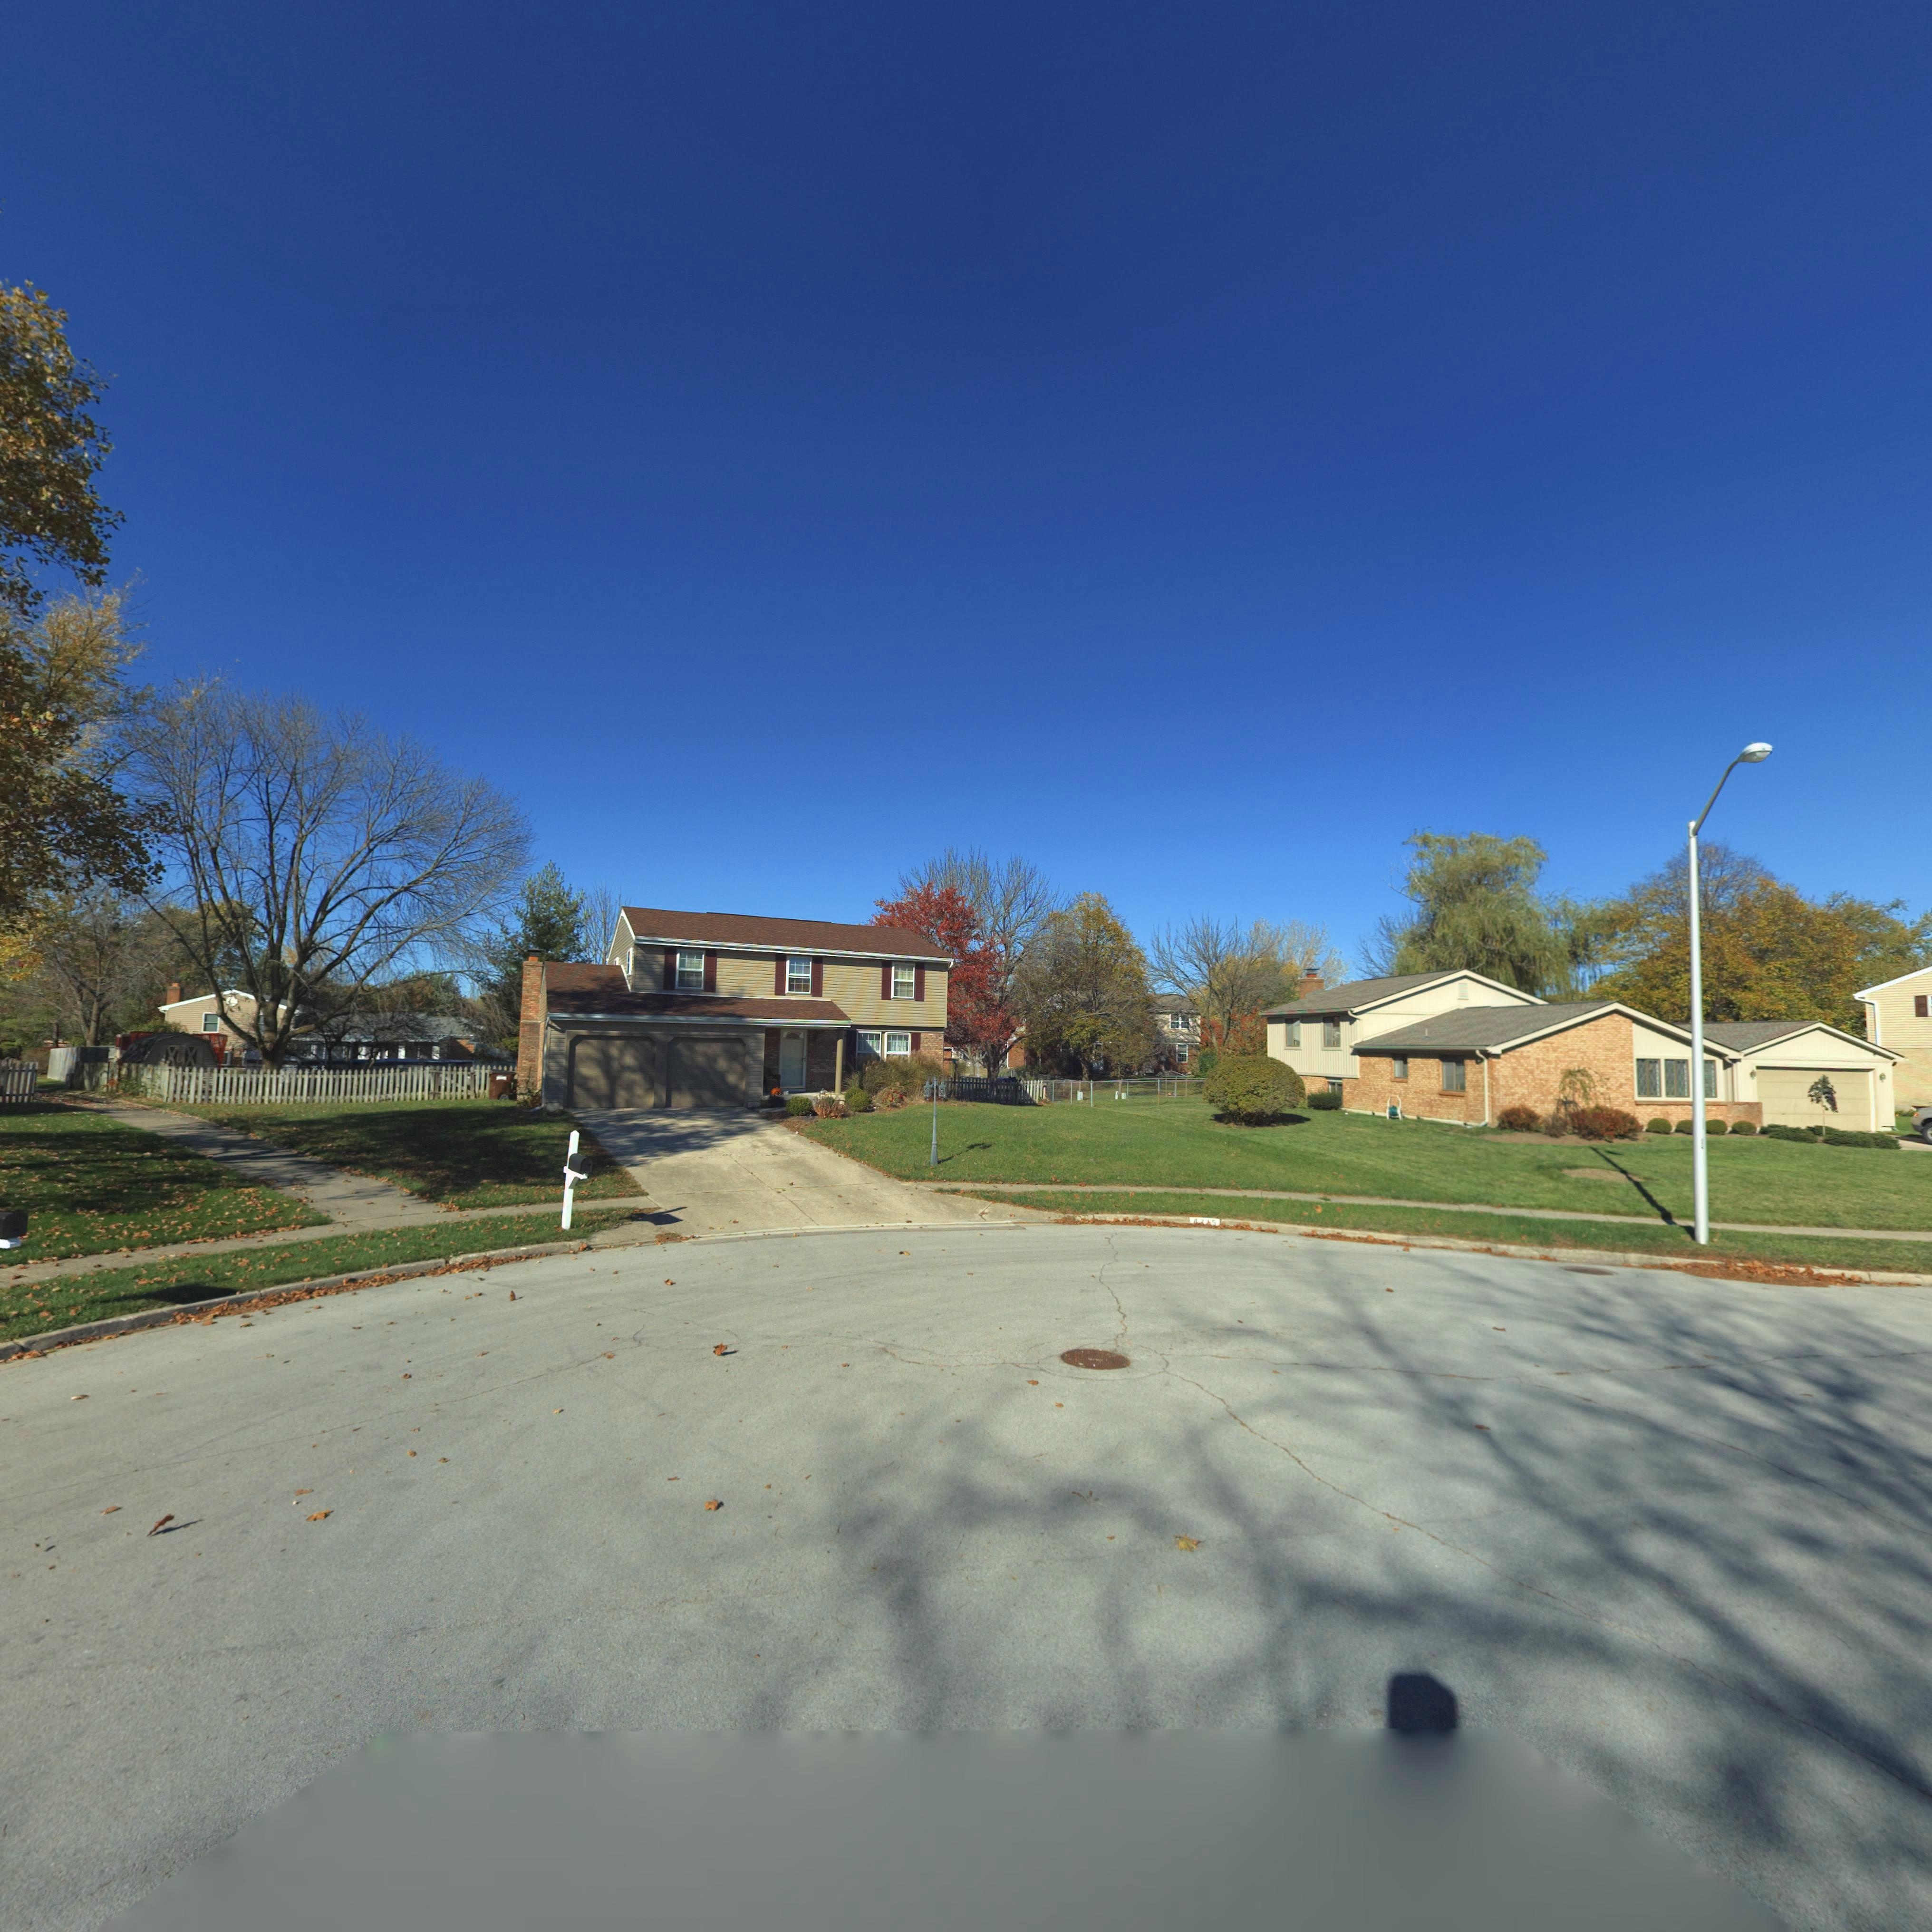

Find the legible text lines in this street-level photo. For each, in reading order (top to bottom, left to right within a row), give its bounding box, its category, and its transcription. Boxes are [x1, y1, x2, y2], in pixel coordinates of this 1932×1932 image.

[1192, 1217, 1218, 1227] StreetNumber: ***5